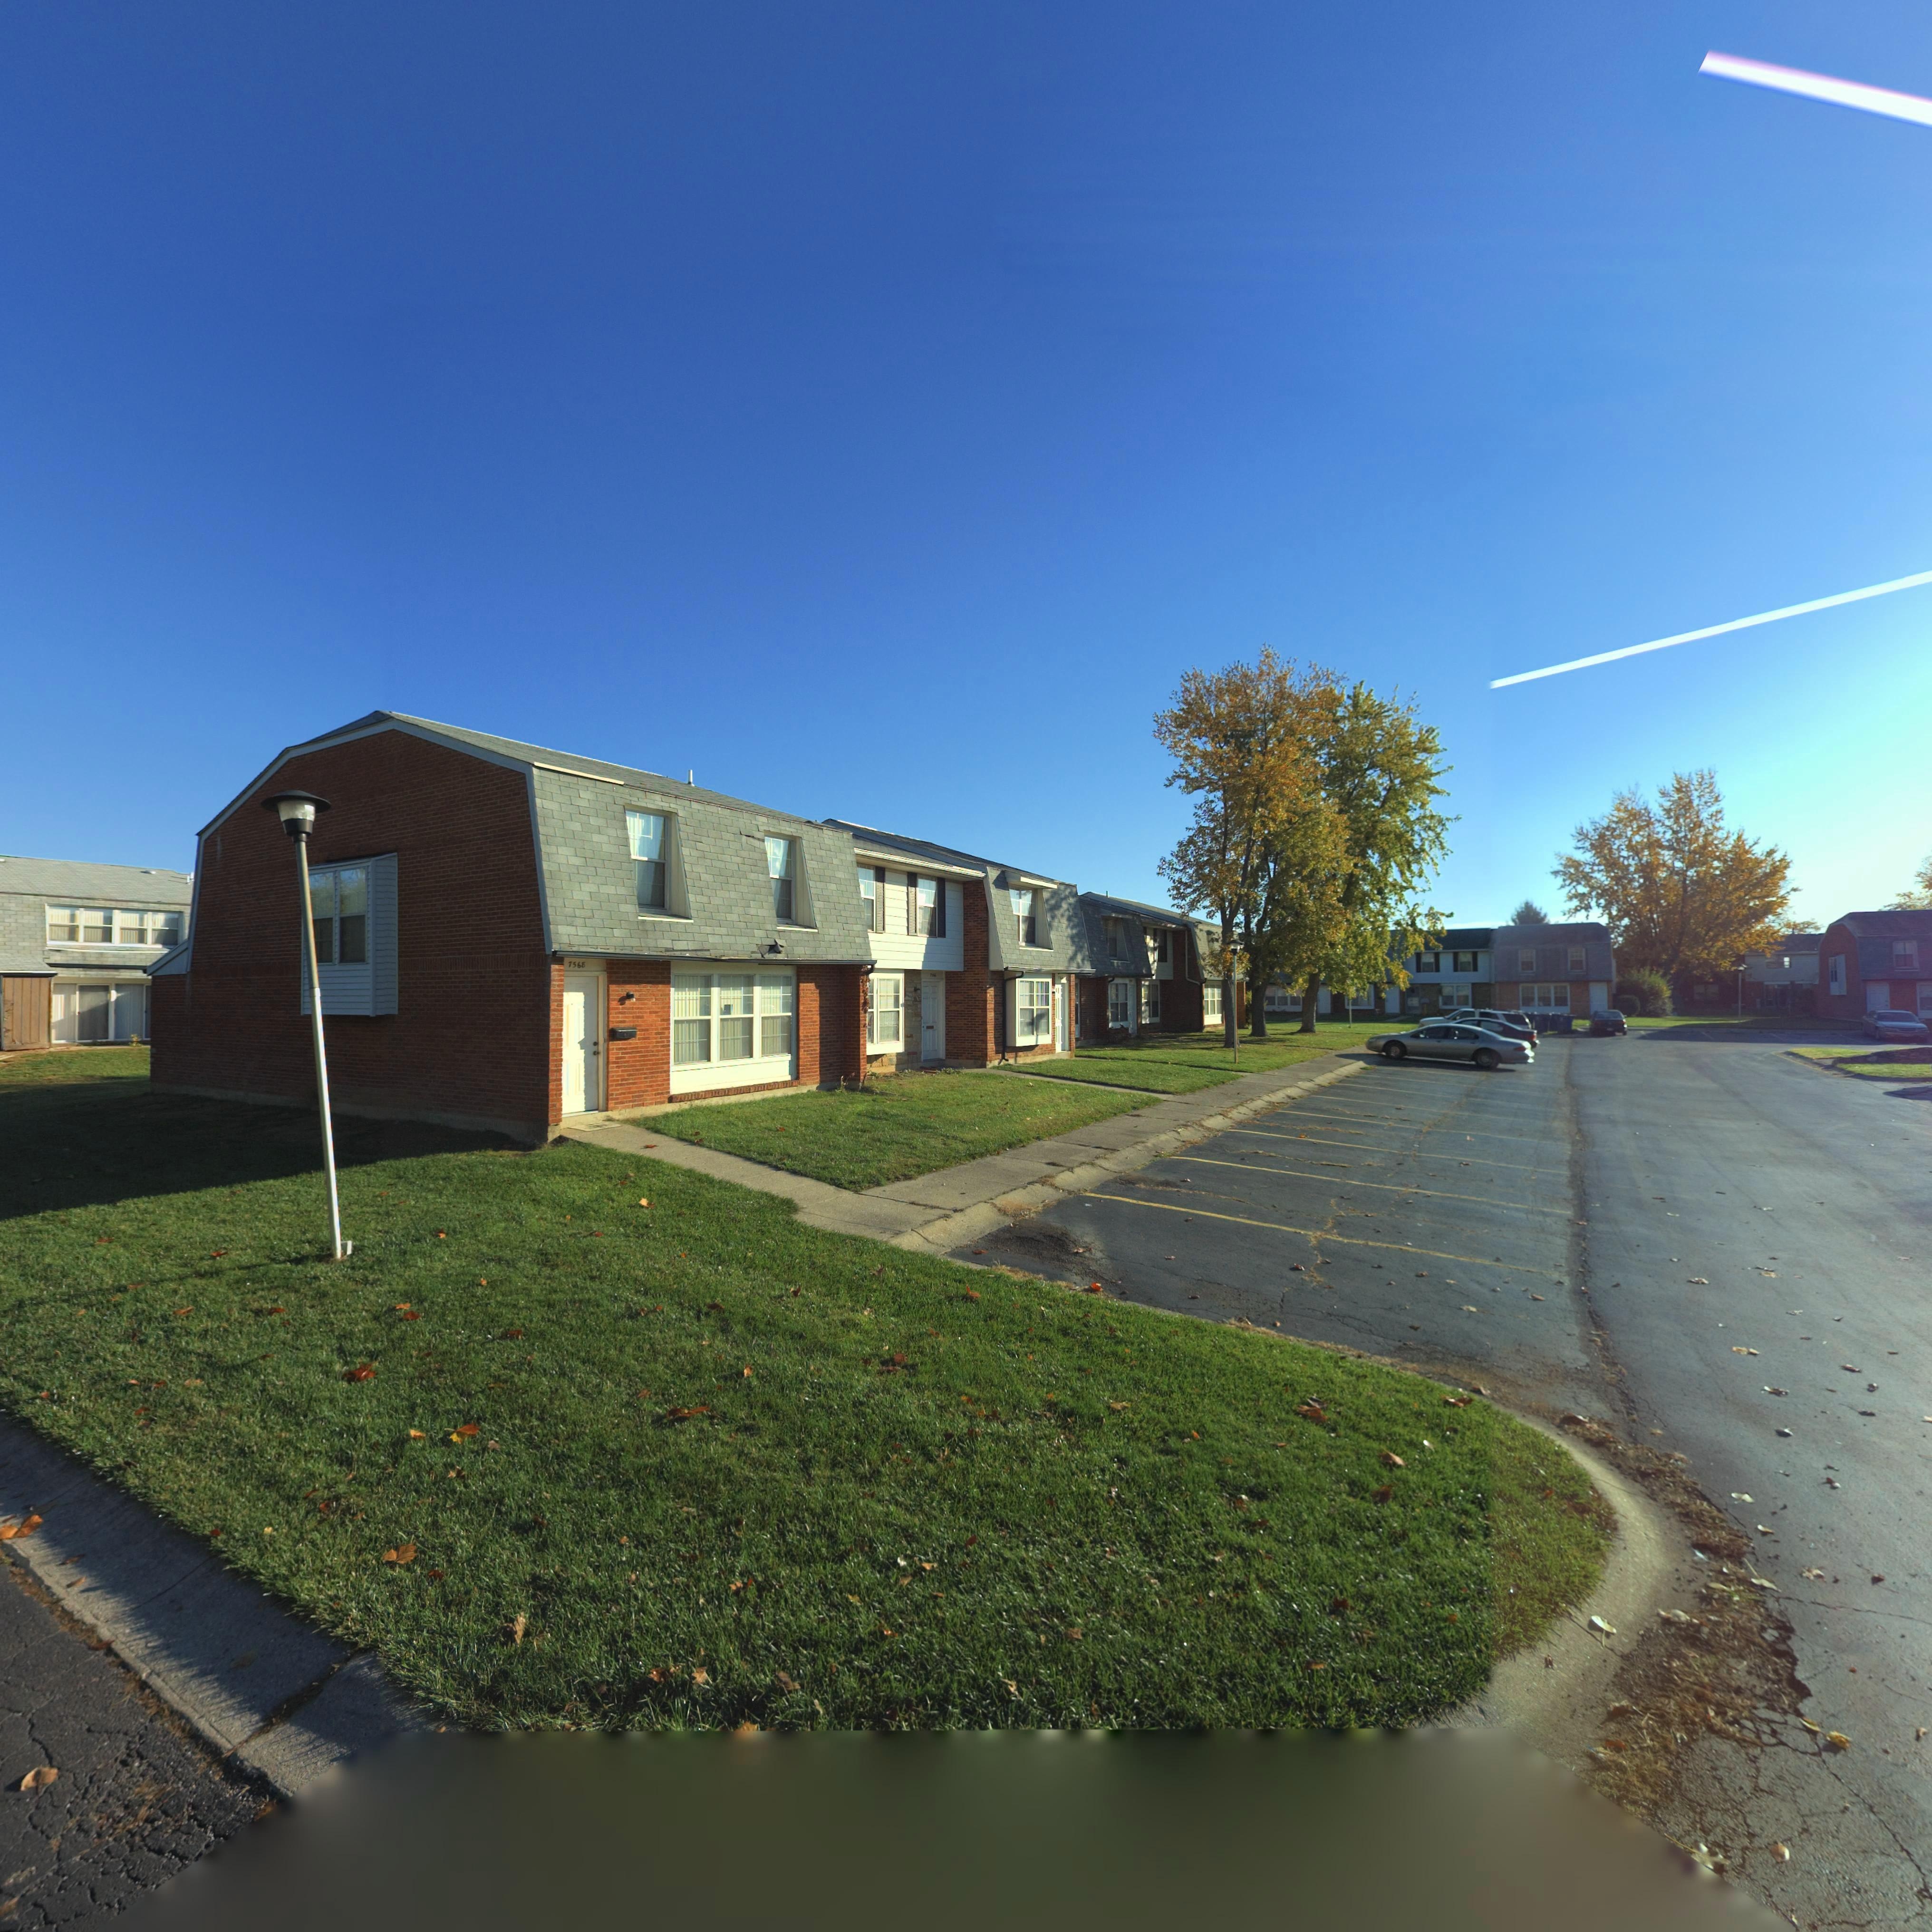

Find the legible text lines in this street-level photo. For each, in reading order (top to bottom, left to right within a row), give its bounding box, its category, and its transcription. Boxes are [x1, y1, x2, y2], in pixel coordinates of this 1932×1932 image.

[568, 960, 587, 969] StreetNumber: 7568